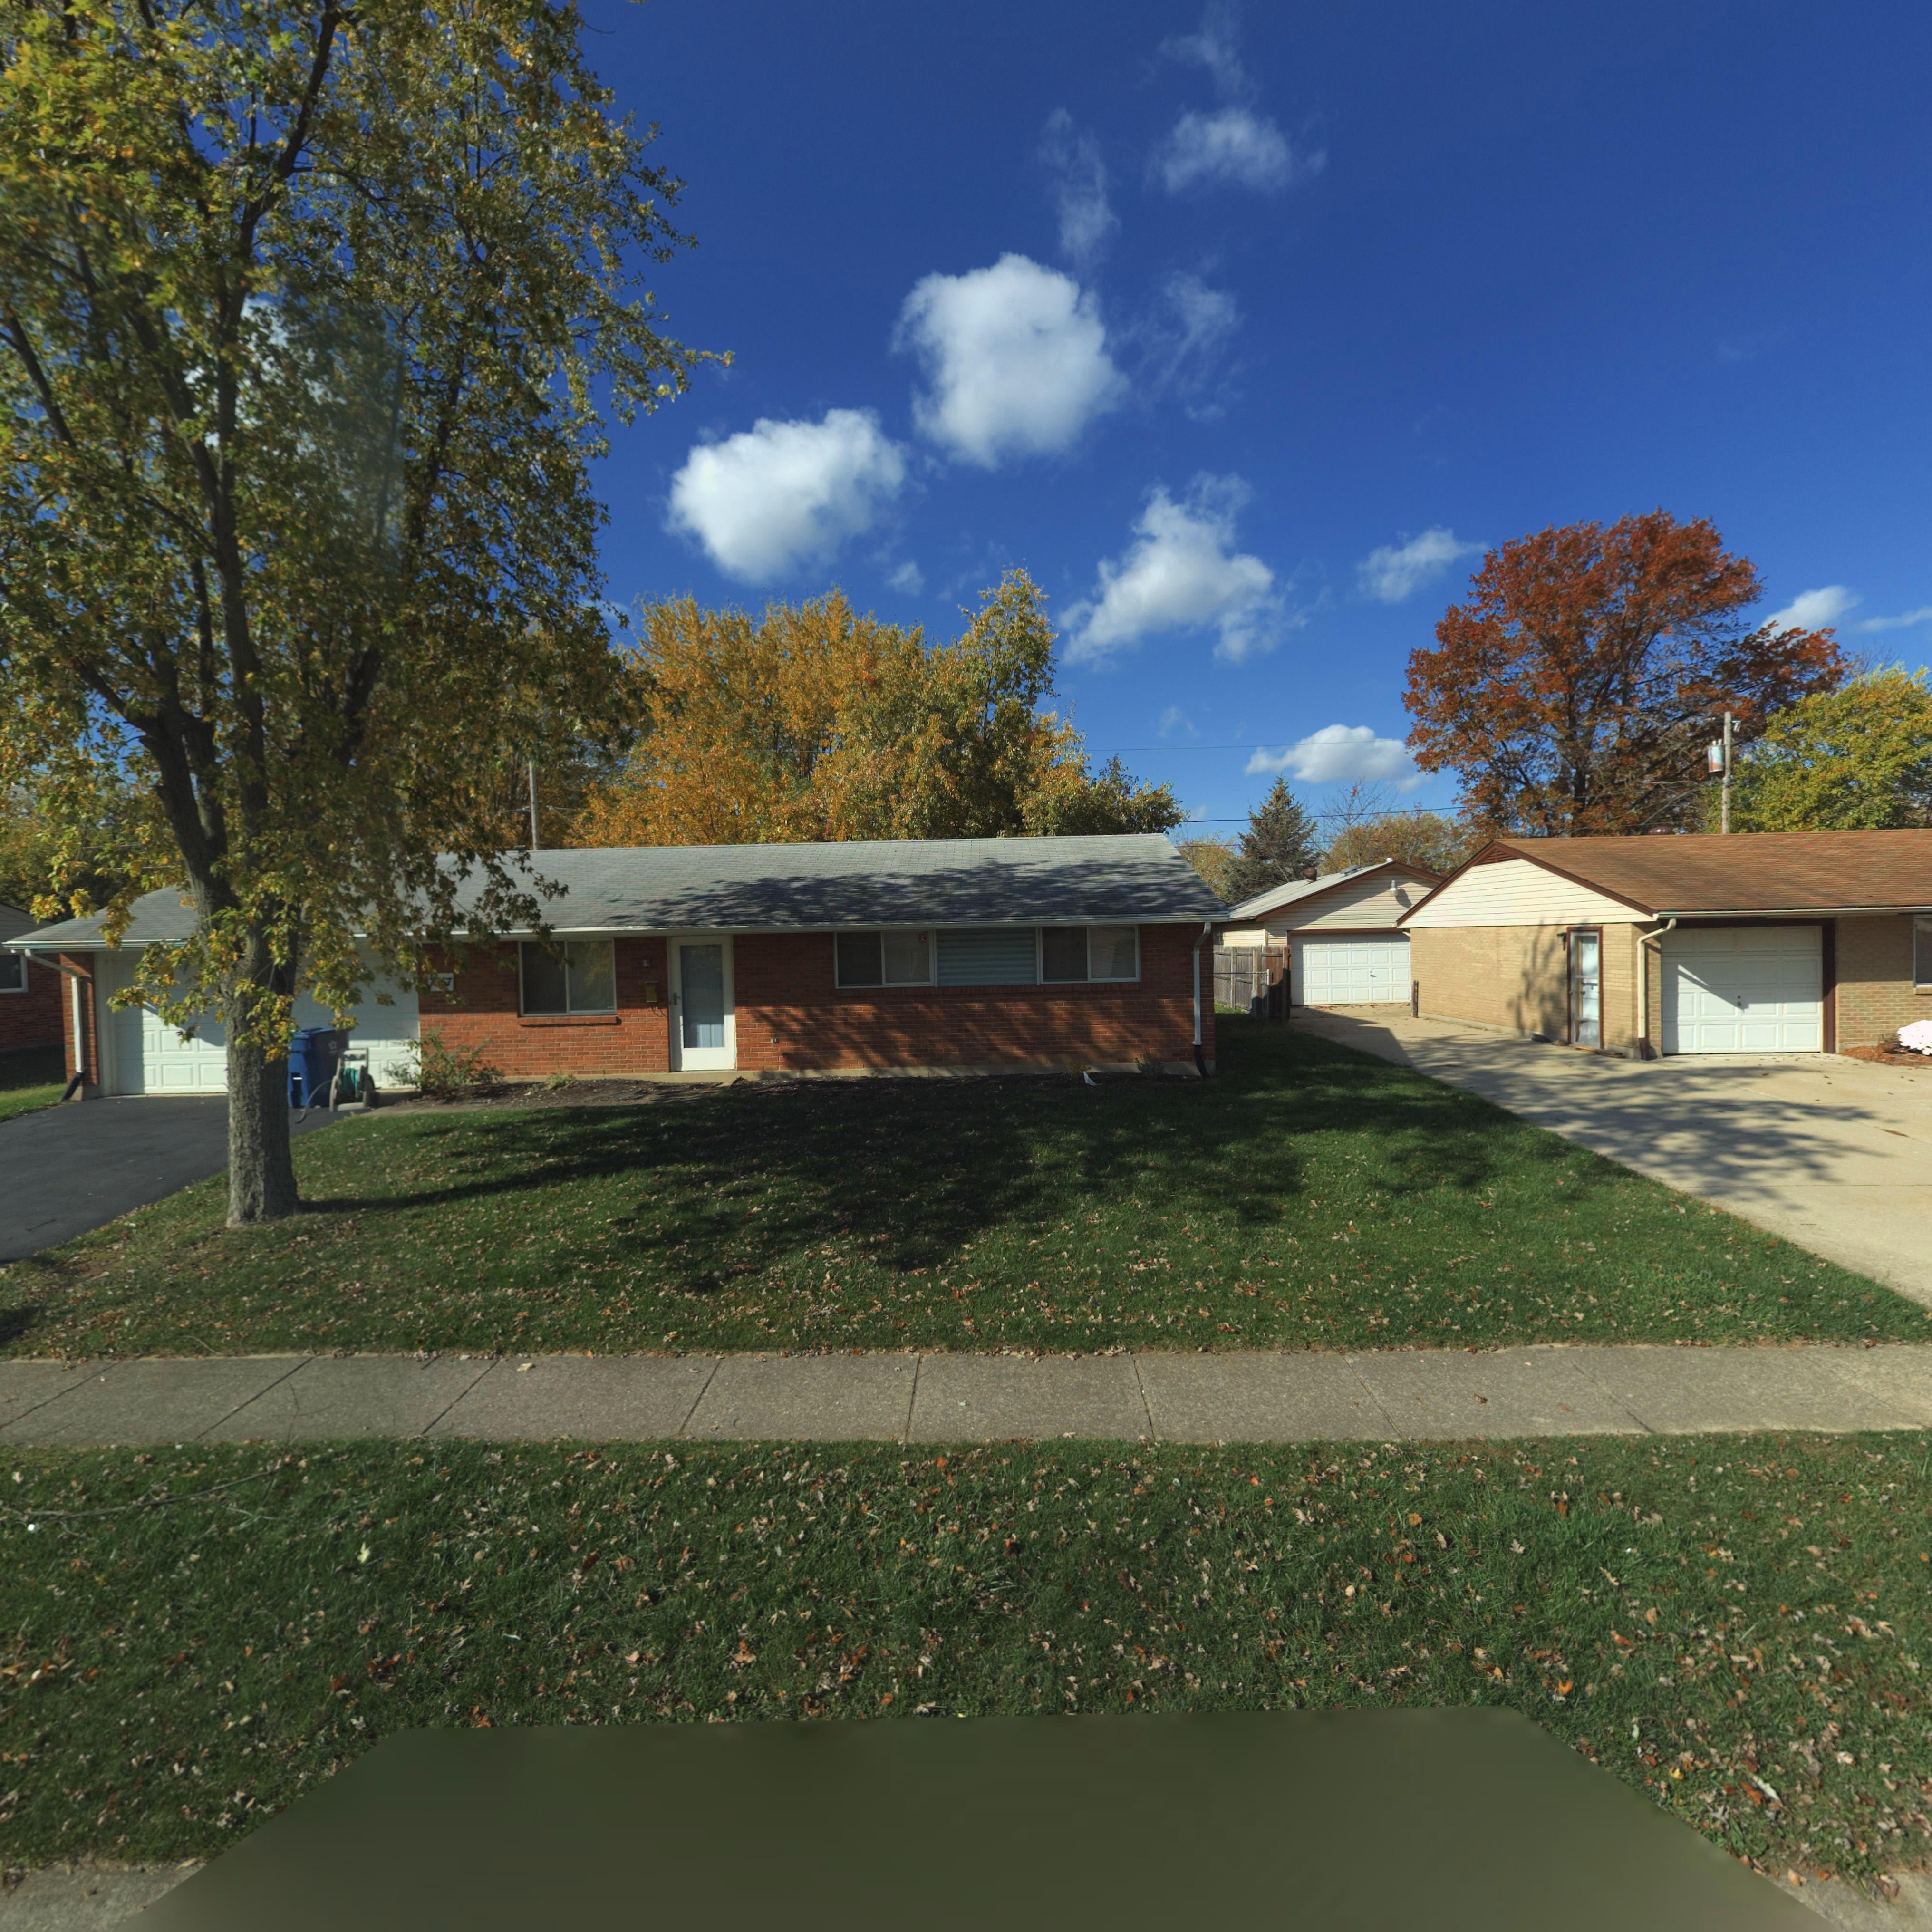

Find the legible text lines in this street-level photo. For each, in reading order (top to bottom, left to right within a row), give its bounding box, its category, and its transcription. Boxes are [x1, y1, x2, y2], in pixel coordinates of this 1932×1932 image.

[445, 976, 454, 987] StreetNumber: 7